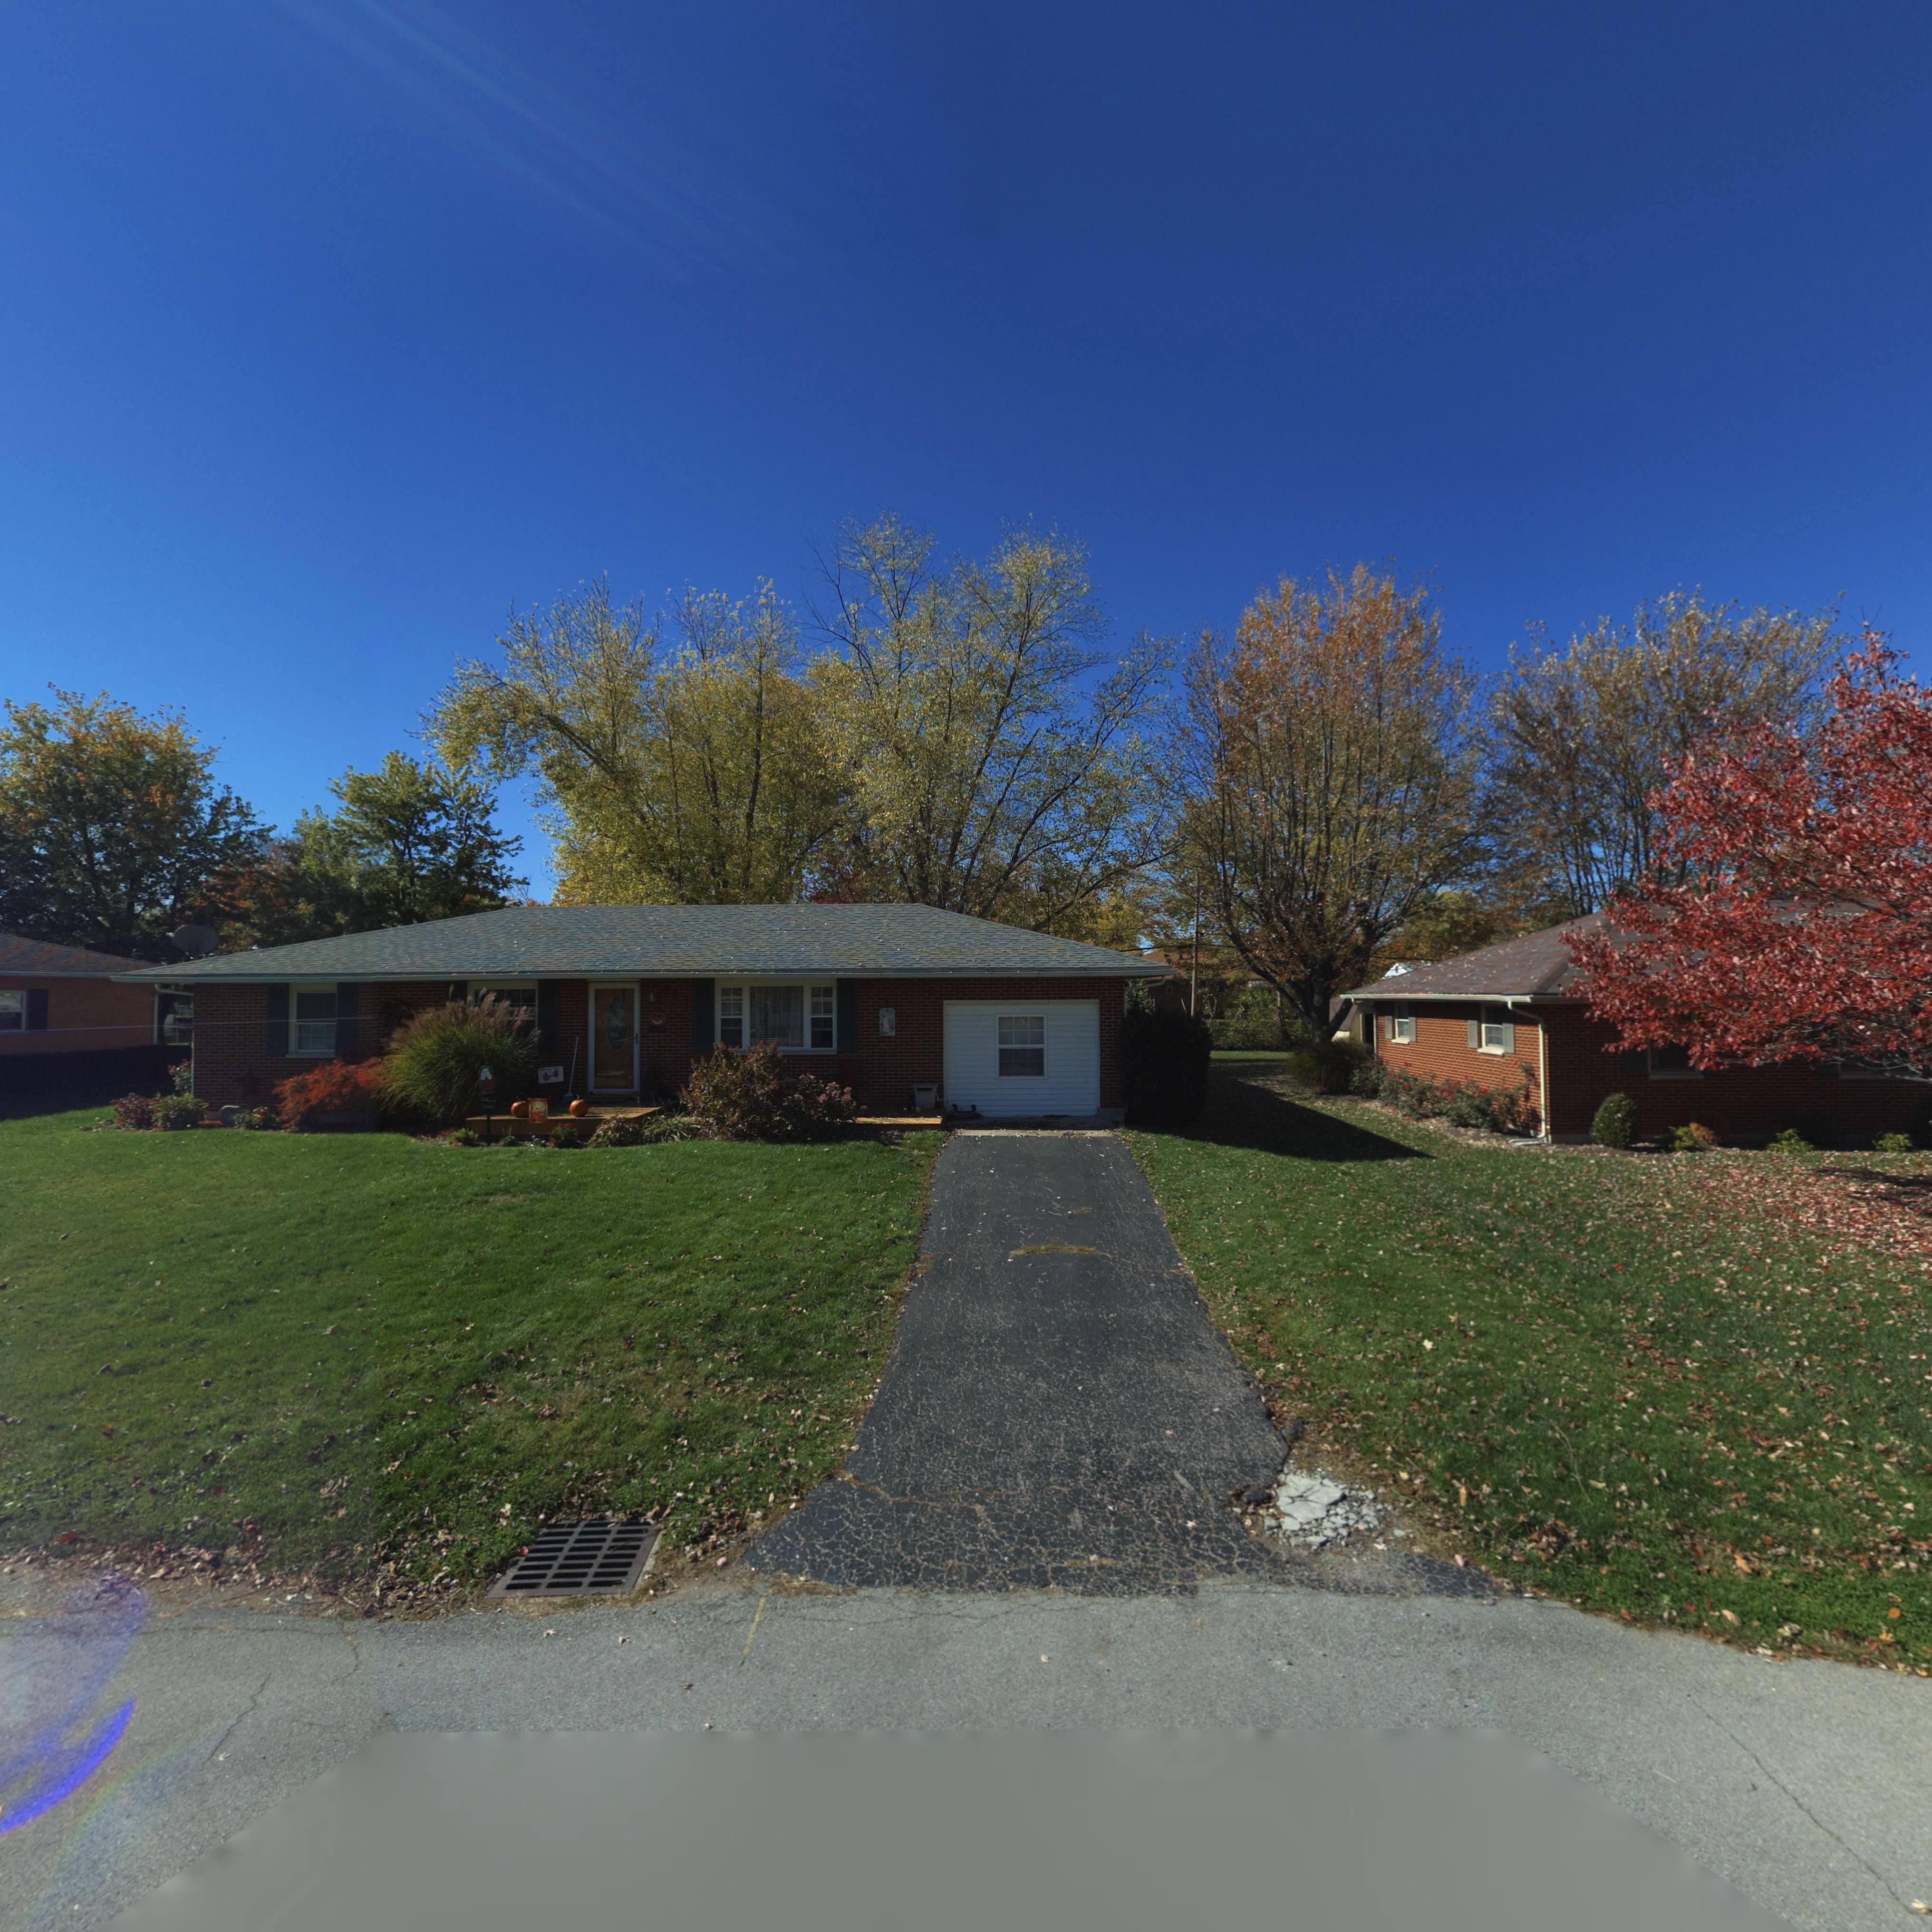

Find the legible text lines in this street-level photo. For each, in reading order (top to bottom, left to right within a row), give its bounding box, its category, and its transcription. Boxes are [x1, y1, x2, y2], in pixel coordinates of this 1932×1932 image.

[662, 984, 690, 1008] StreetNumber: 80*